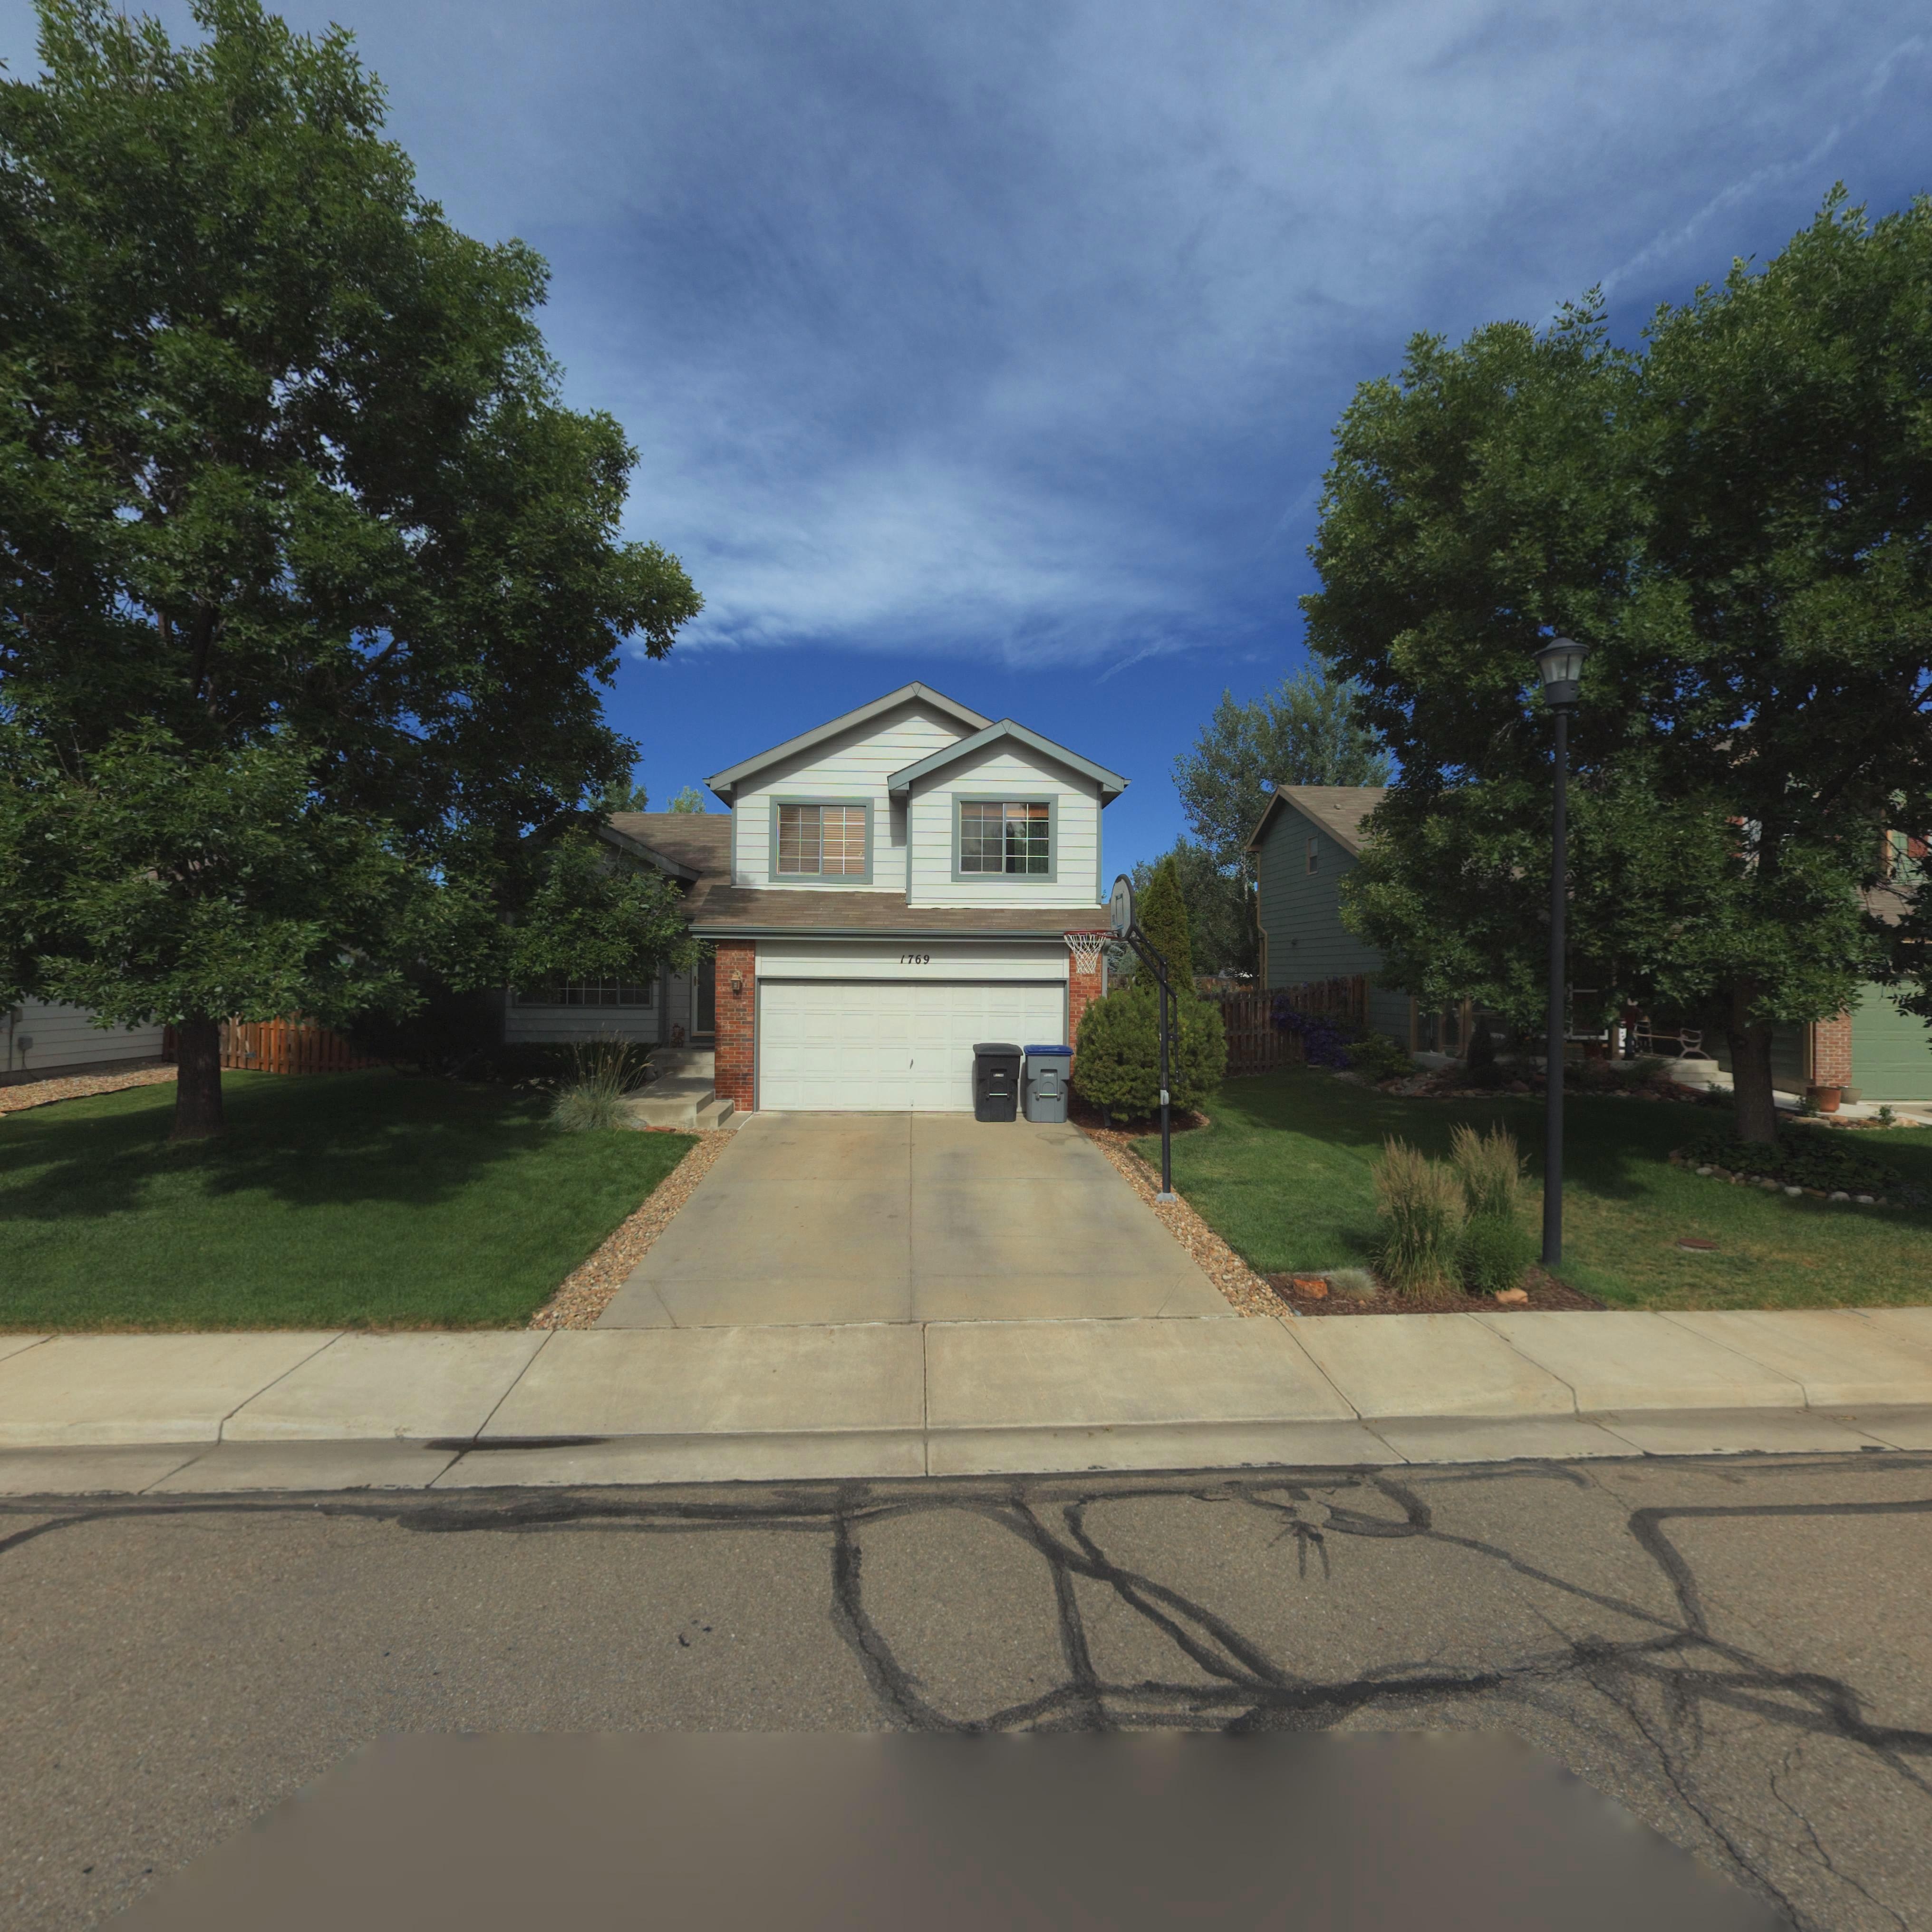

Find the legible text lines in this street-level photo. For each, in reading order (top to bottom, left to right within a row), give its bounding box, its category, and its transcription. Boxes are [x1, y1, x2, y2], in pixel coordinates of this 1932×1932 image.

[899, 954, 929, 965] StreetNumber: 1769